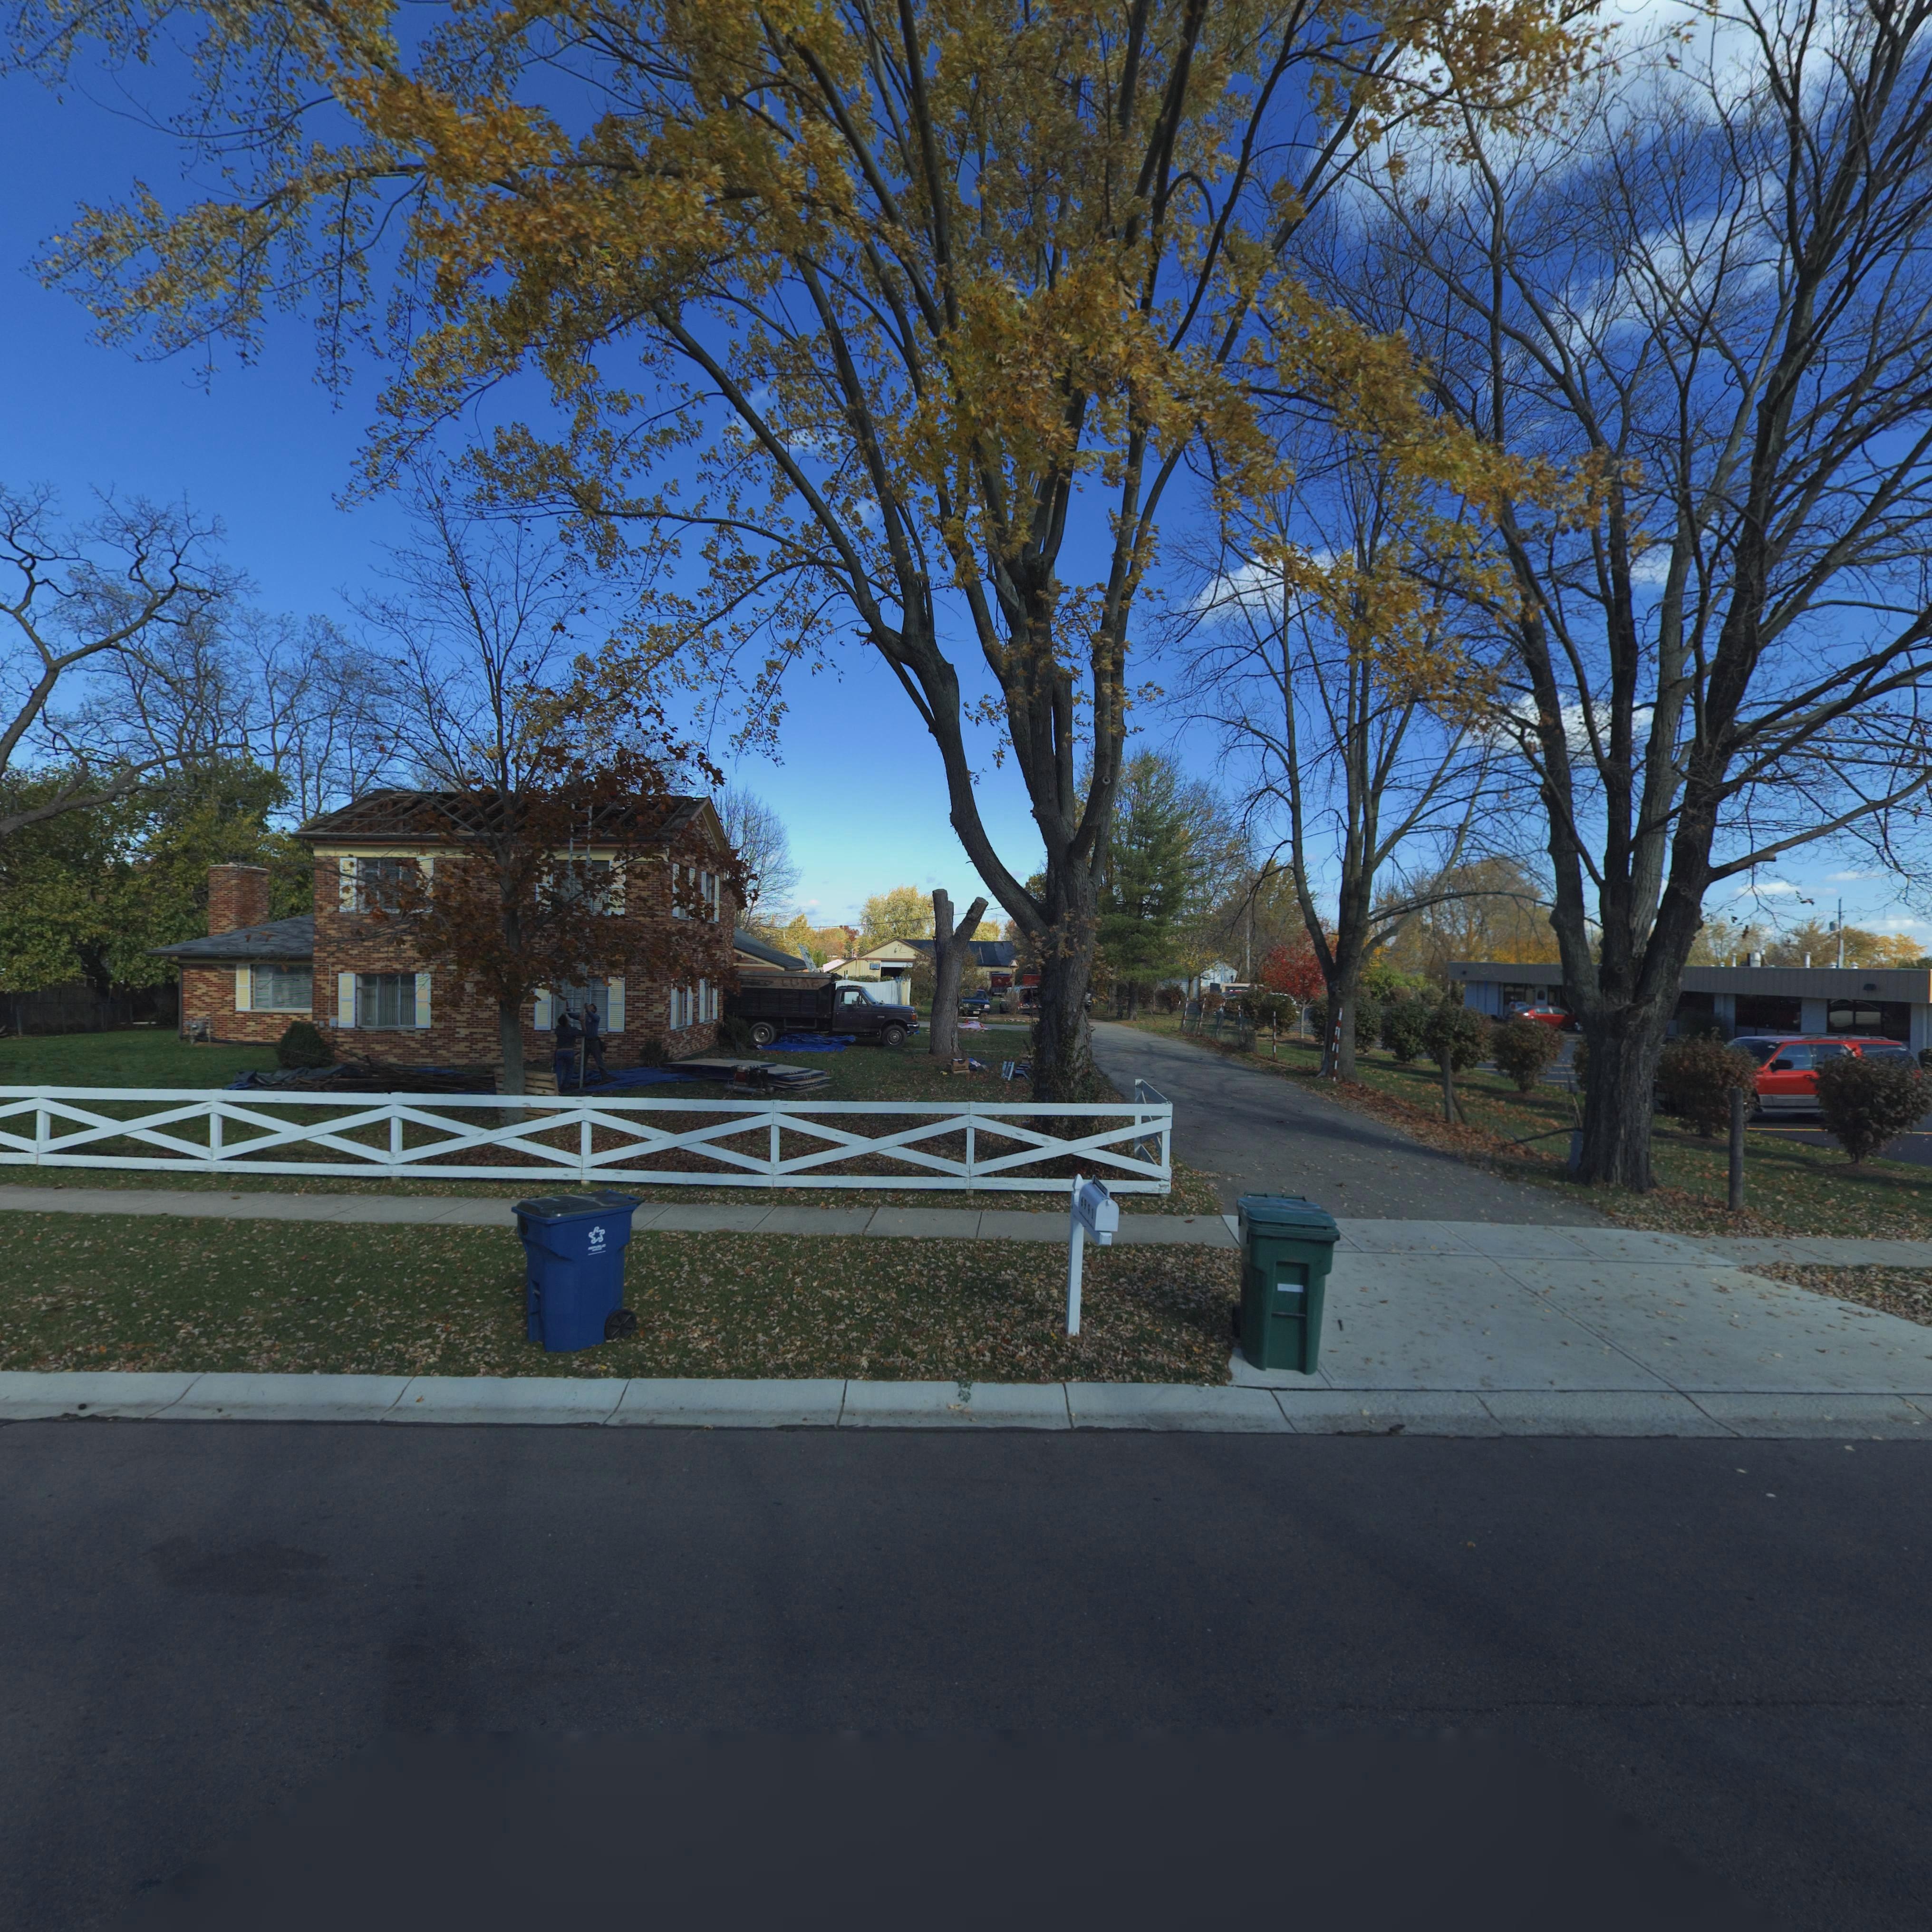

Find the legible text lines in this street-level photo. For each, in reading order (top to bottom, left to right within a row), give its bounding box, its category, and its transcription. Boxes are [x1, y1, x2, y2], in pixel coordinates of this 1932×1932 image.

[1080, 1195, 1095, 1221] StreetNumber: 6991